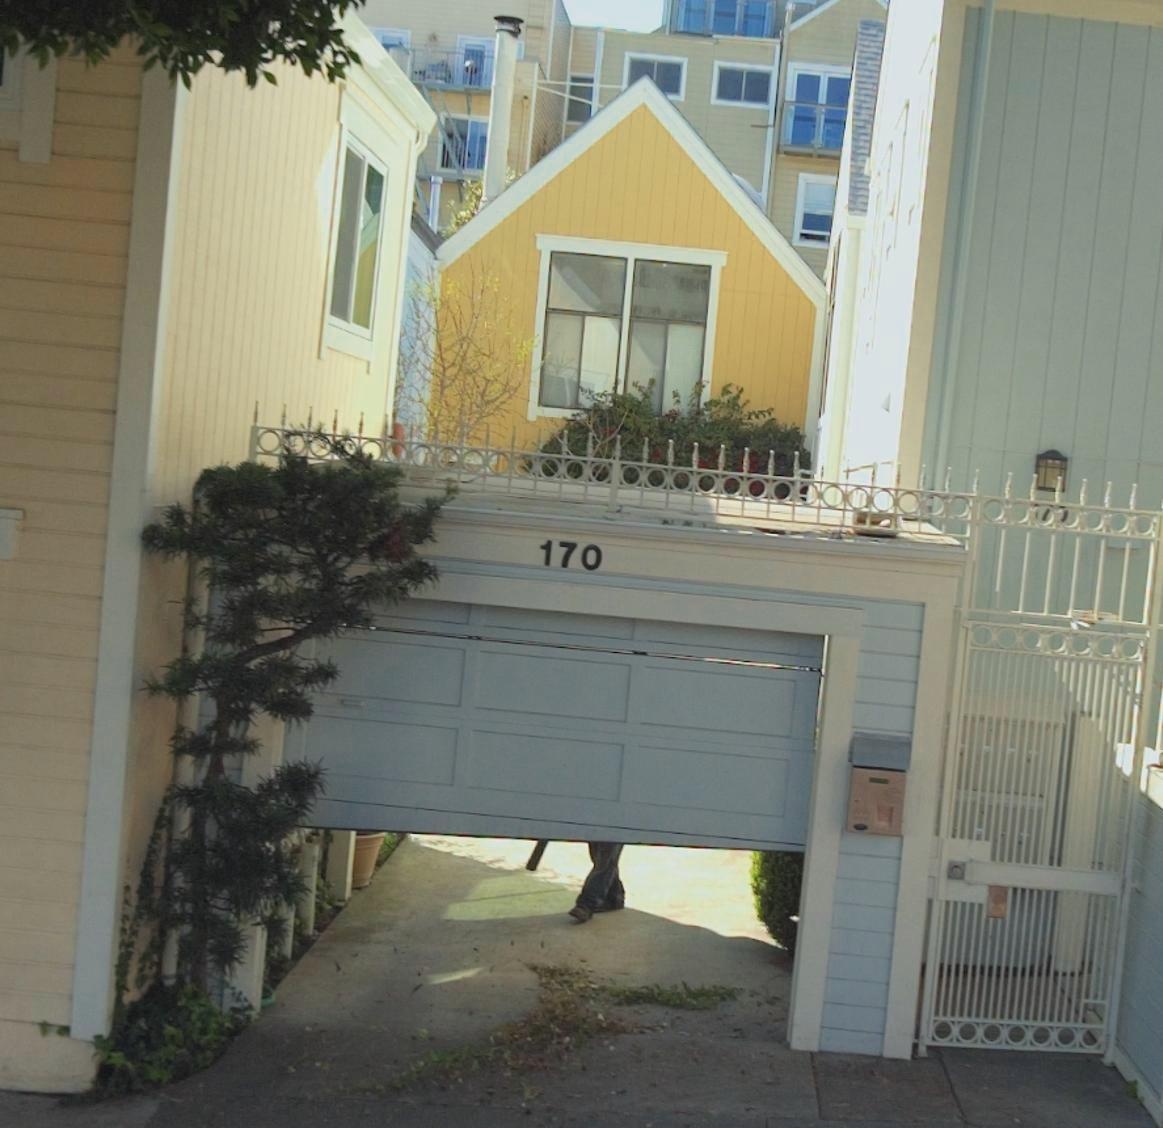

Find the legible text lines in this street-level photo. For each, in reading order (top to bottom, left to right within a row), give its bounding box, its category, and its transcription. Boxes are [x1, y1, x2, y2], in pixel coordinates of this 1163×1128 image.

[538, 536, 605, 574] StreetNumber: 170